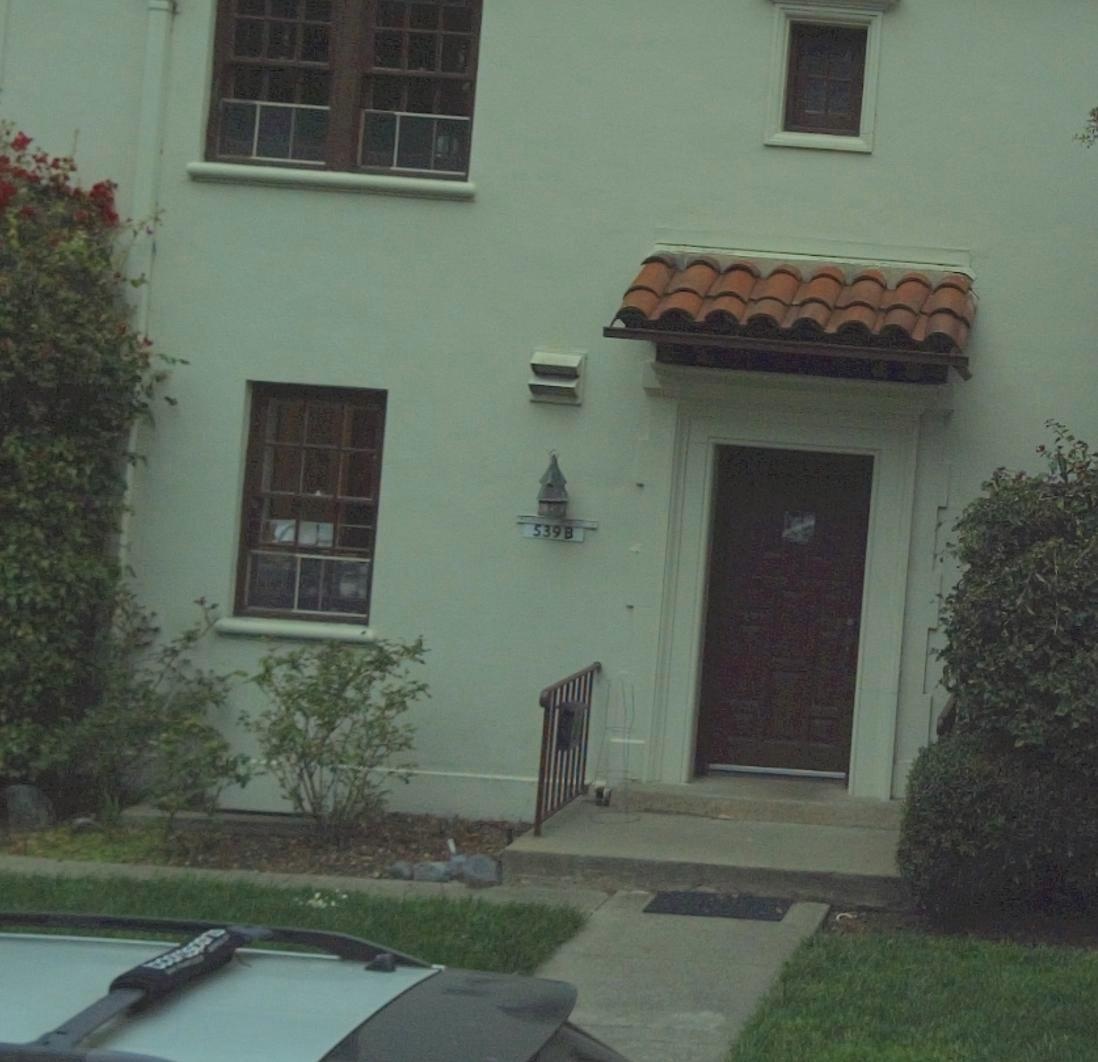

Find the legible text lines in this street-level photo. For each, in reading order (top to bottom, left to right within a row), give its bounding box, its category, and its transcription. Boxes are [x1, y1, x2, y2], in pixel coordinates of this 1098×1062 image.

[532, 522, 573, 541] StreetNumber: 539 B